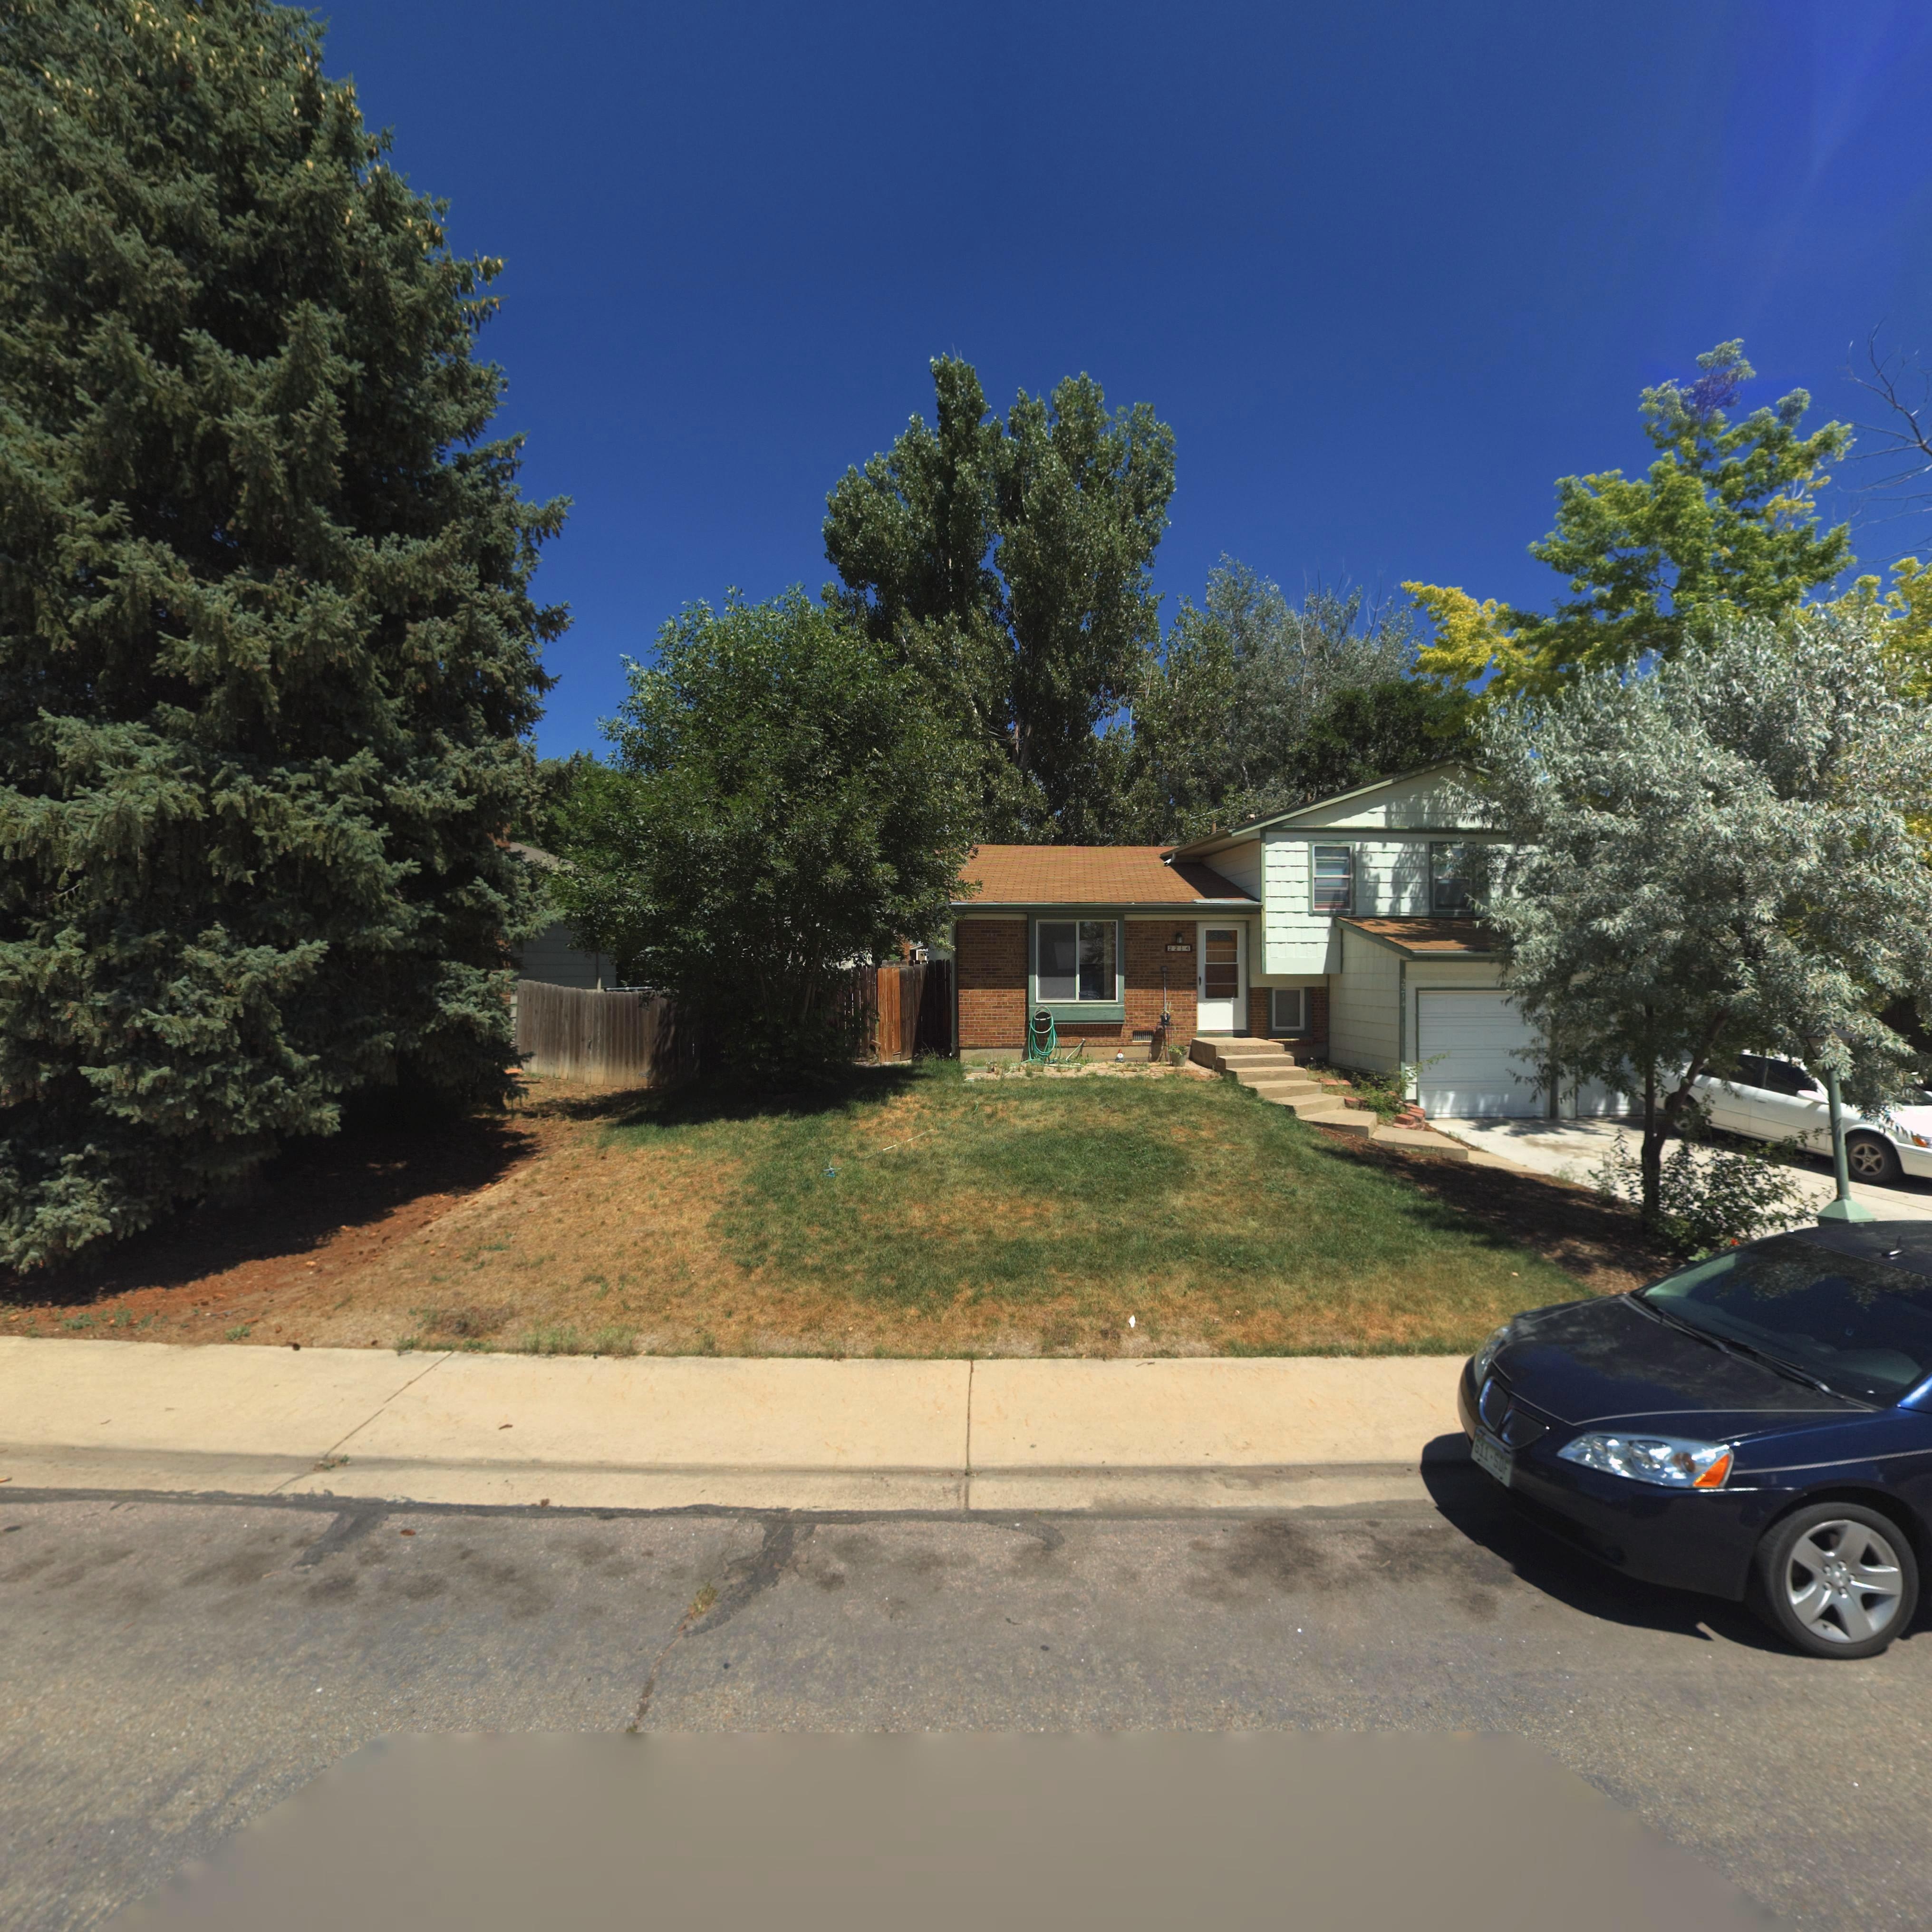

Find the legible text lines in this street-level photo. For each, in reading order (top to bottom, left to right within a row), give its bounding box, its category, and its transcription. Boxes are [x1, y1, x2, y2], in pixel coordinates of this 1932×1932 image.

[1168, 946, 1189, 950] StreetNumber: 2214